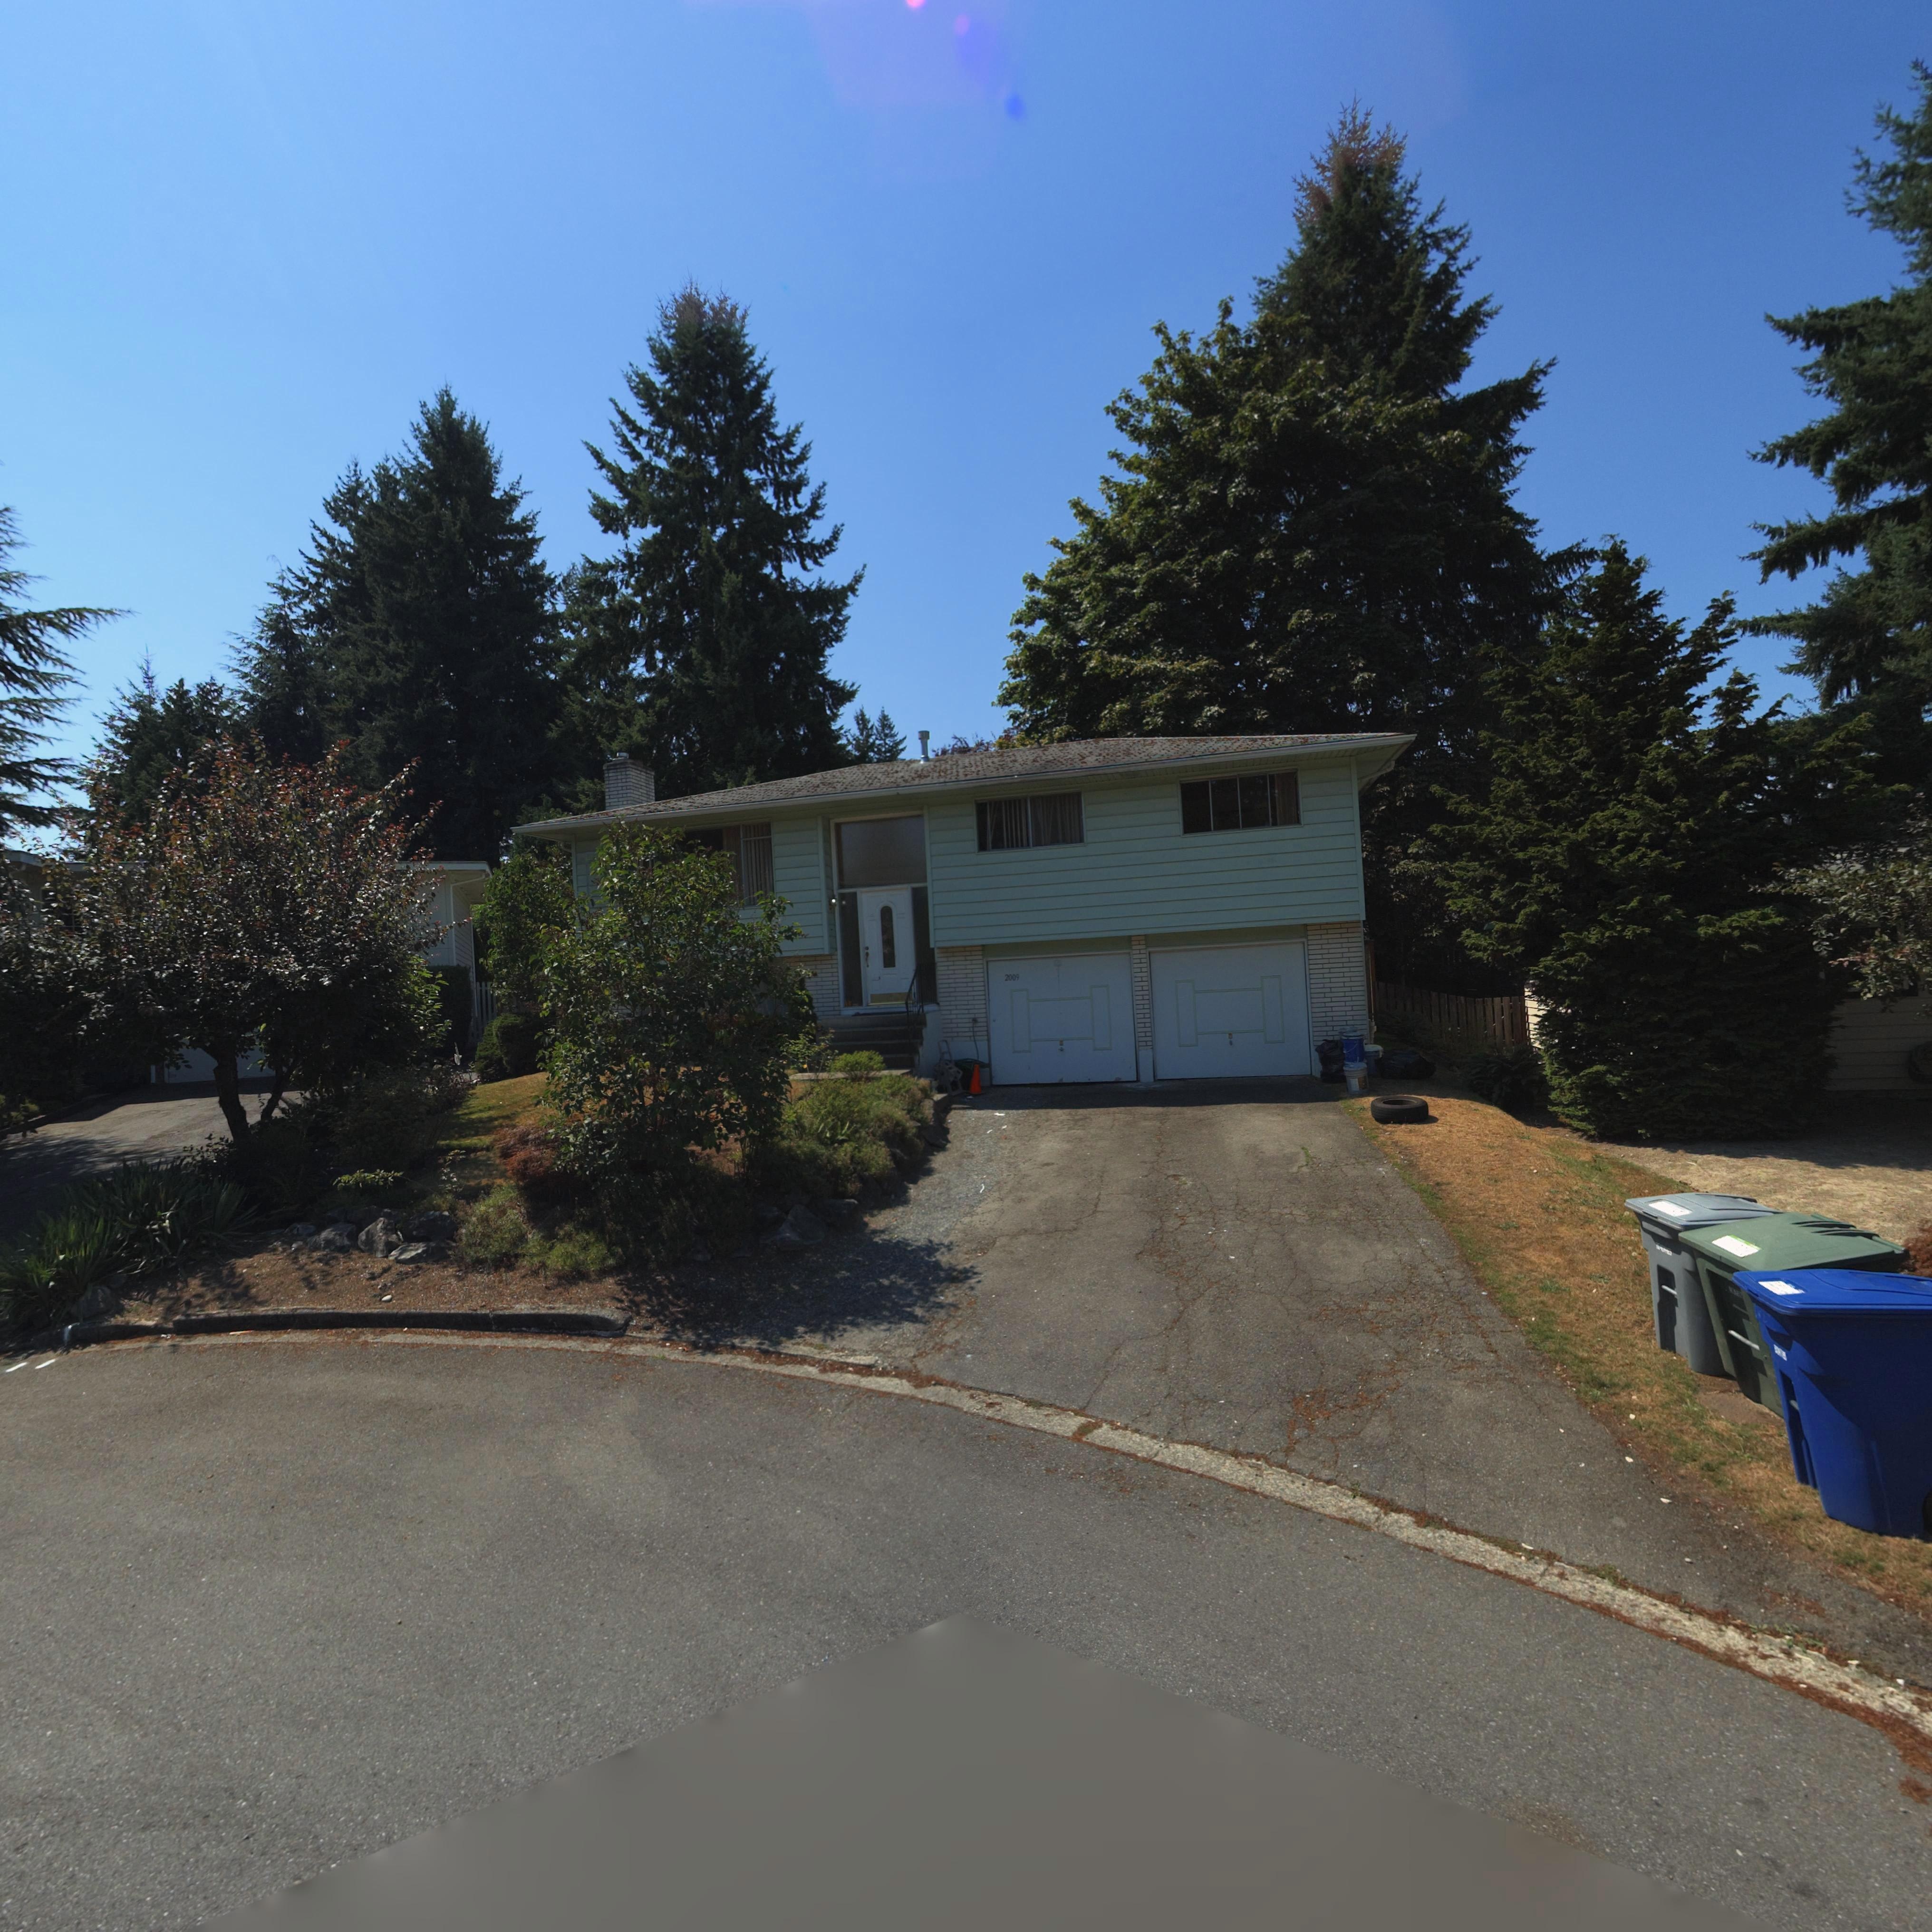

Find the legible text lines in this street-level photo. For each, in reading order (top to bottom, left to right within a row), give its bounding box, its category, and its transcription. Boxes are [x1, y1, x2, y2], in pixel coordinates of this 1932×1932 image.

[1004, 973, 1020, 981] StreetNumber: 2009